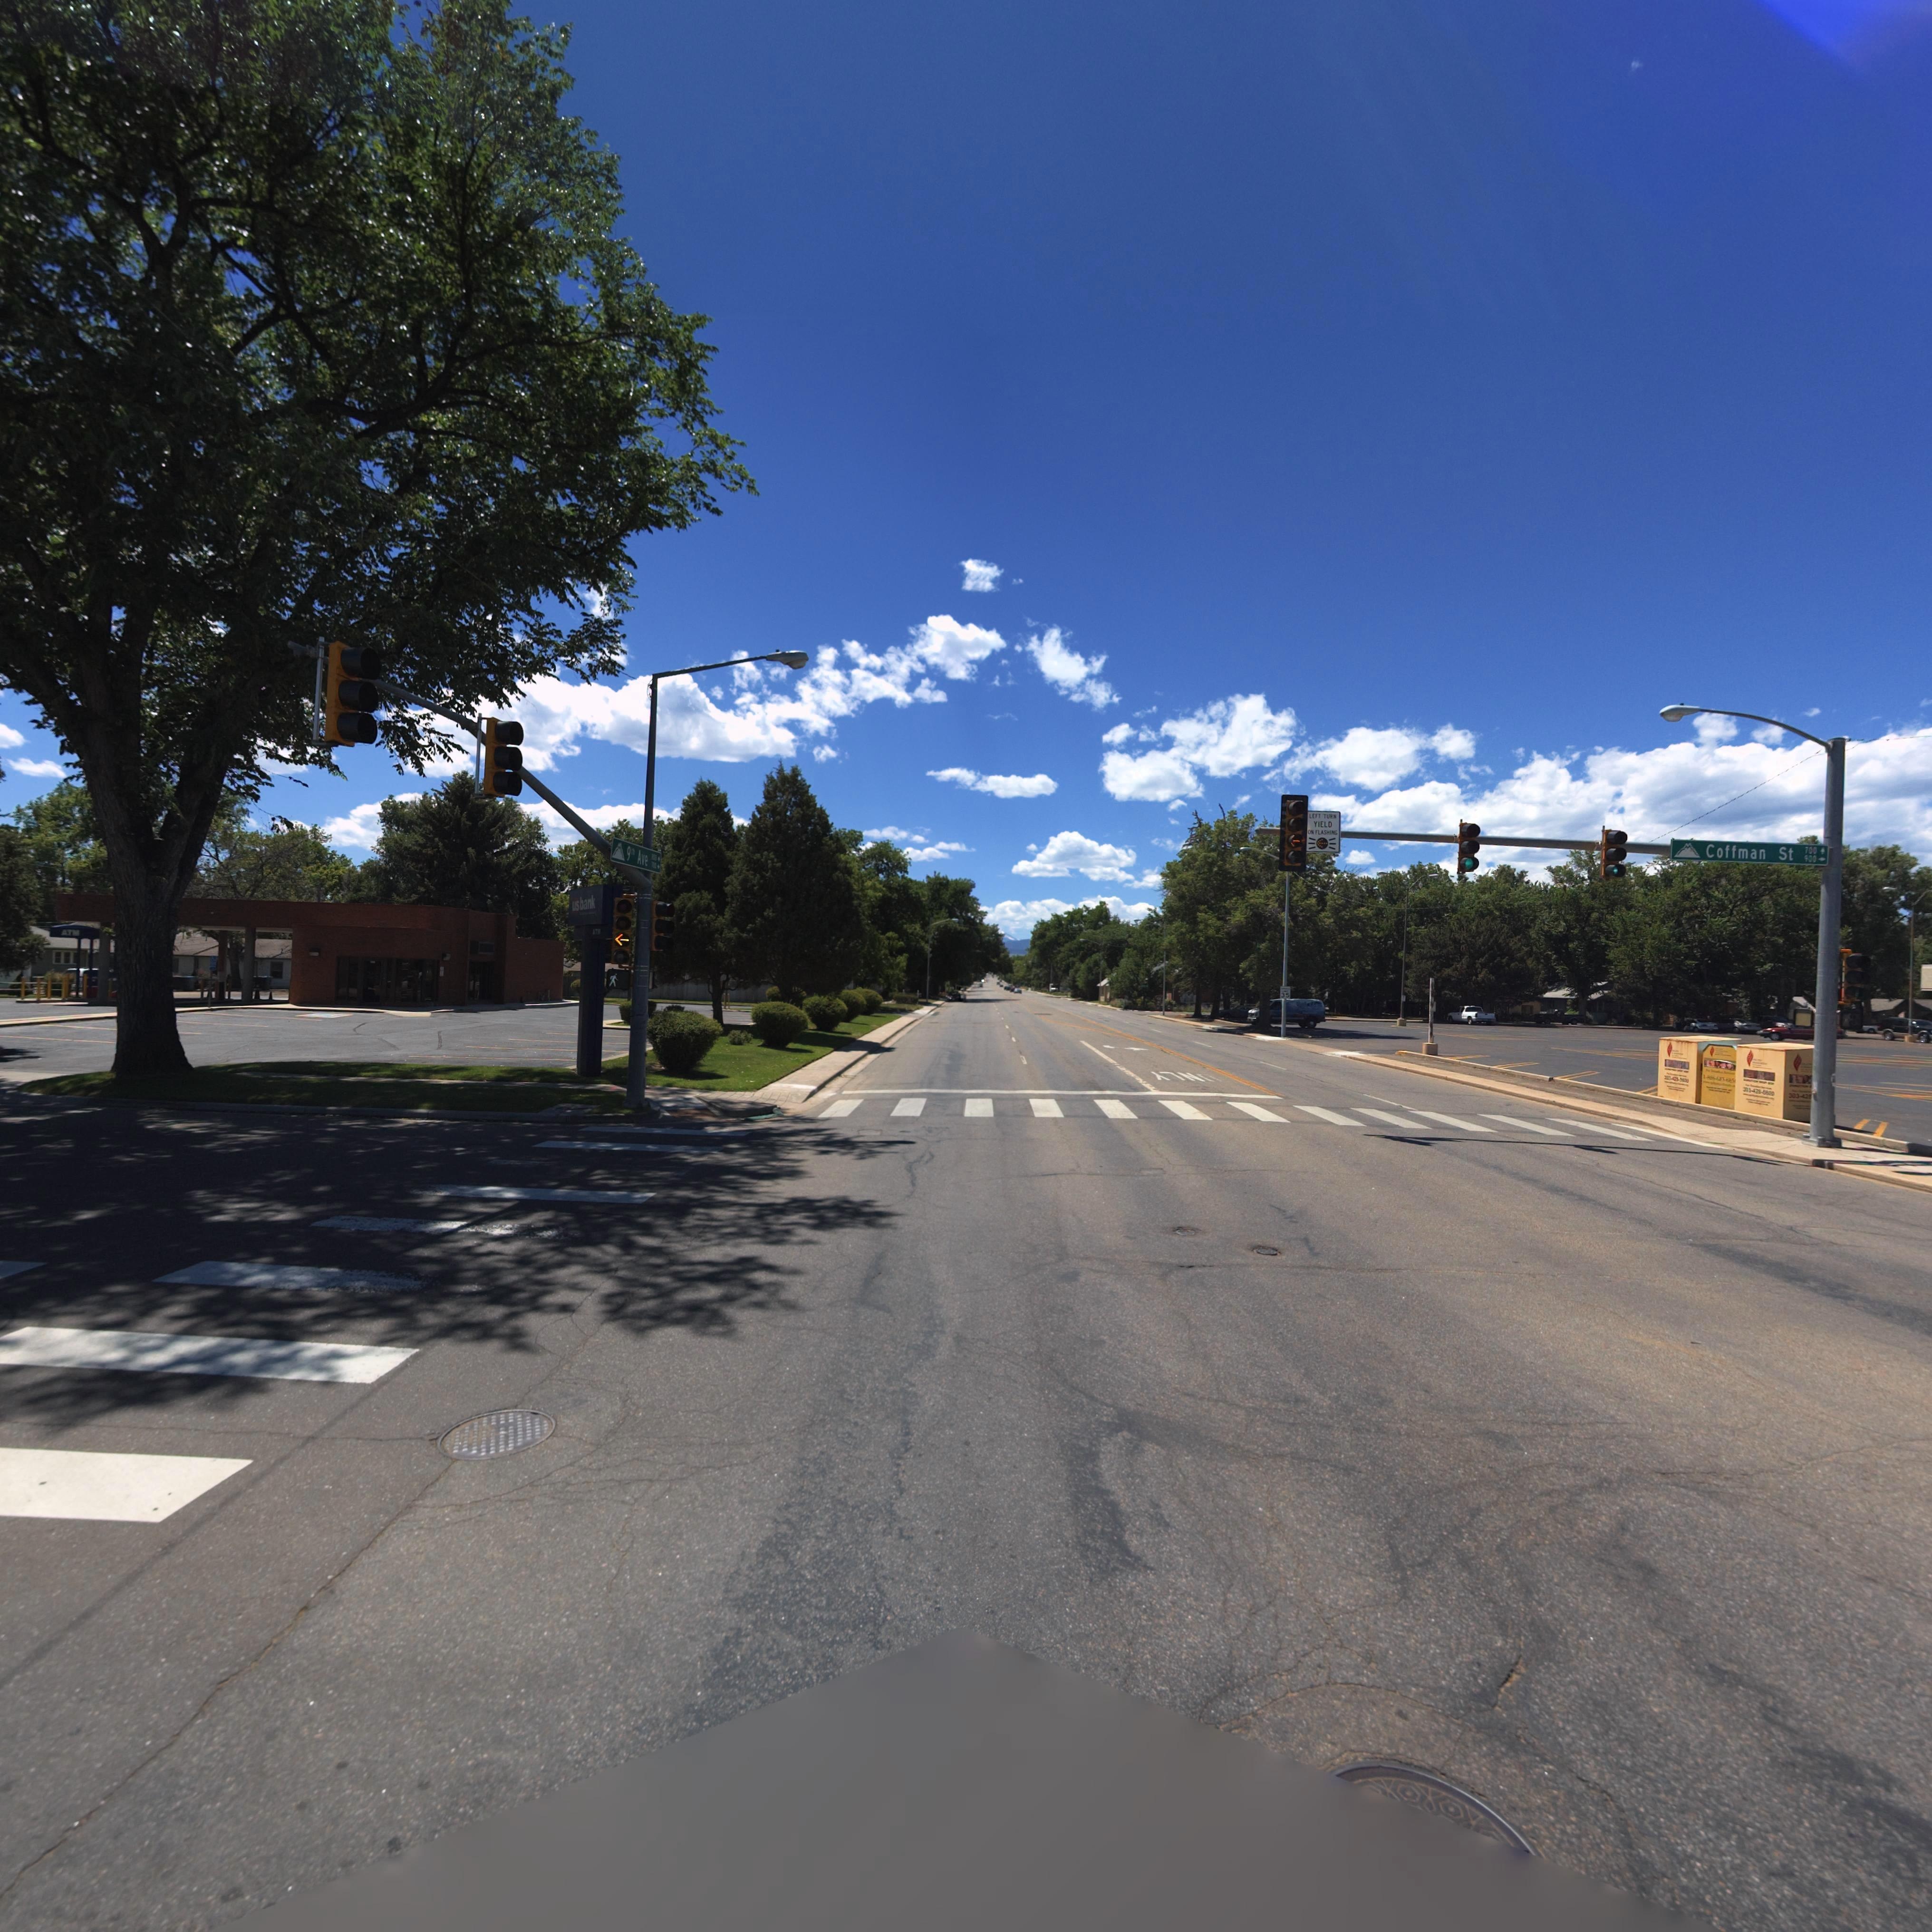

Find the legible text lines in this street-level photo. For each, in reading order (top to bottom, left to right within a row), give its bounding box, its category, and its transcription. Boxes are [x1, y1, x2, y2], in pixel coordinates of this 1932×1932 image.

[626, 845, 648, 867] StreetName: 9th Ave
[650, 853, 657, 861] StreetNumberRange: 800
[1705, 843, 1794, 860] StreetName: Coffman St
[1805, 846, 1817, 854] StreetNumberRange: 700
[1803, 855, 1826, 863] StreetNumberRange: 900->
[651, 861, 660, 869] StreetNumberRange: 700->
[572, 894, 596, 911] BusinessName: usbank